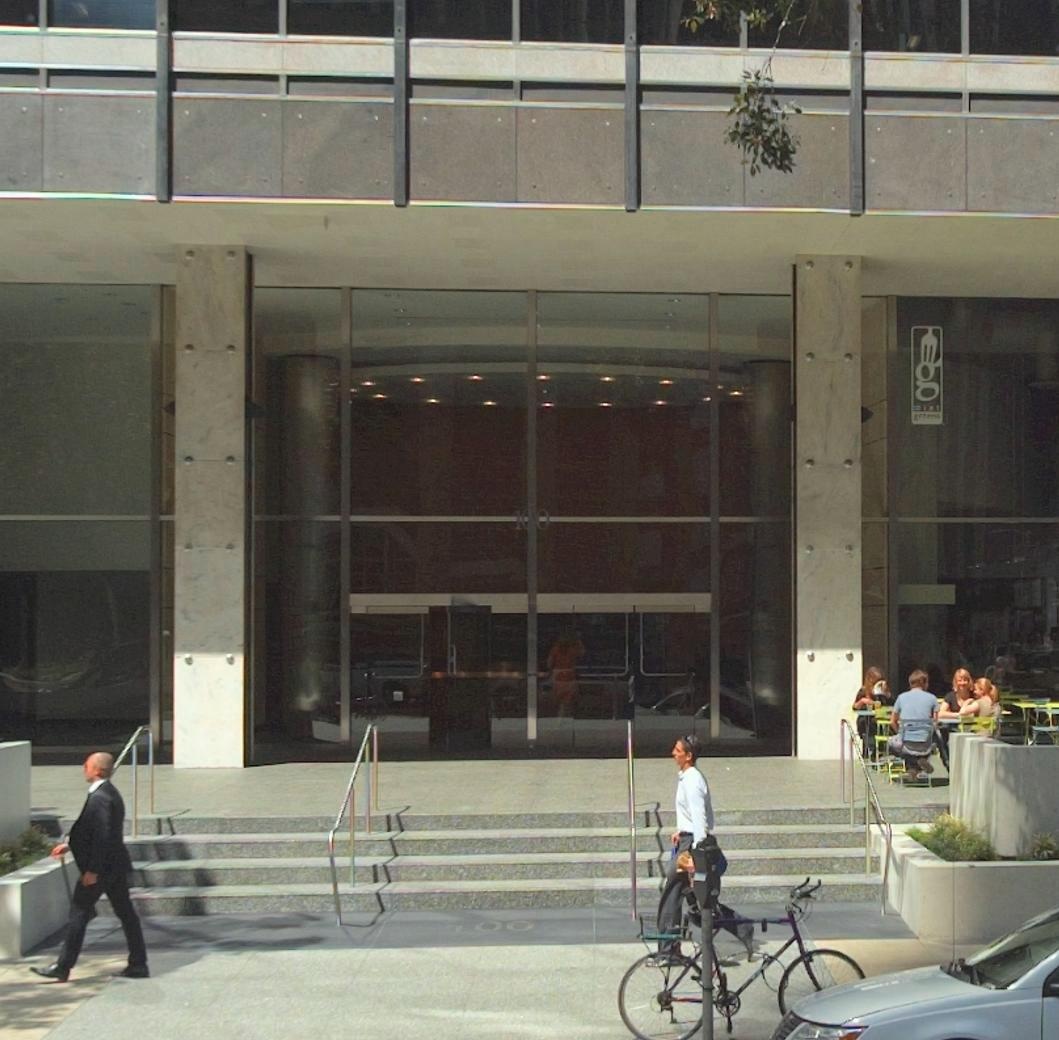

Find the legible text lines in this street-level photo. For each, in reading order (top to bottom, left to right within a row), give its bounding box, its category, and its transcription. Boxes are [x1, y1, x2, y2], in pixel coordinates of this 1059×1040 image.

[512, 507, 551, 533] StreetNumber: 100